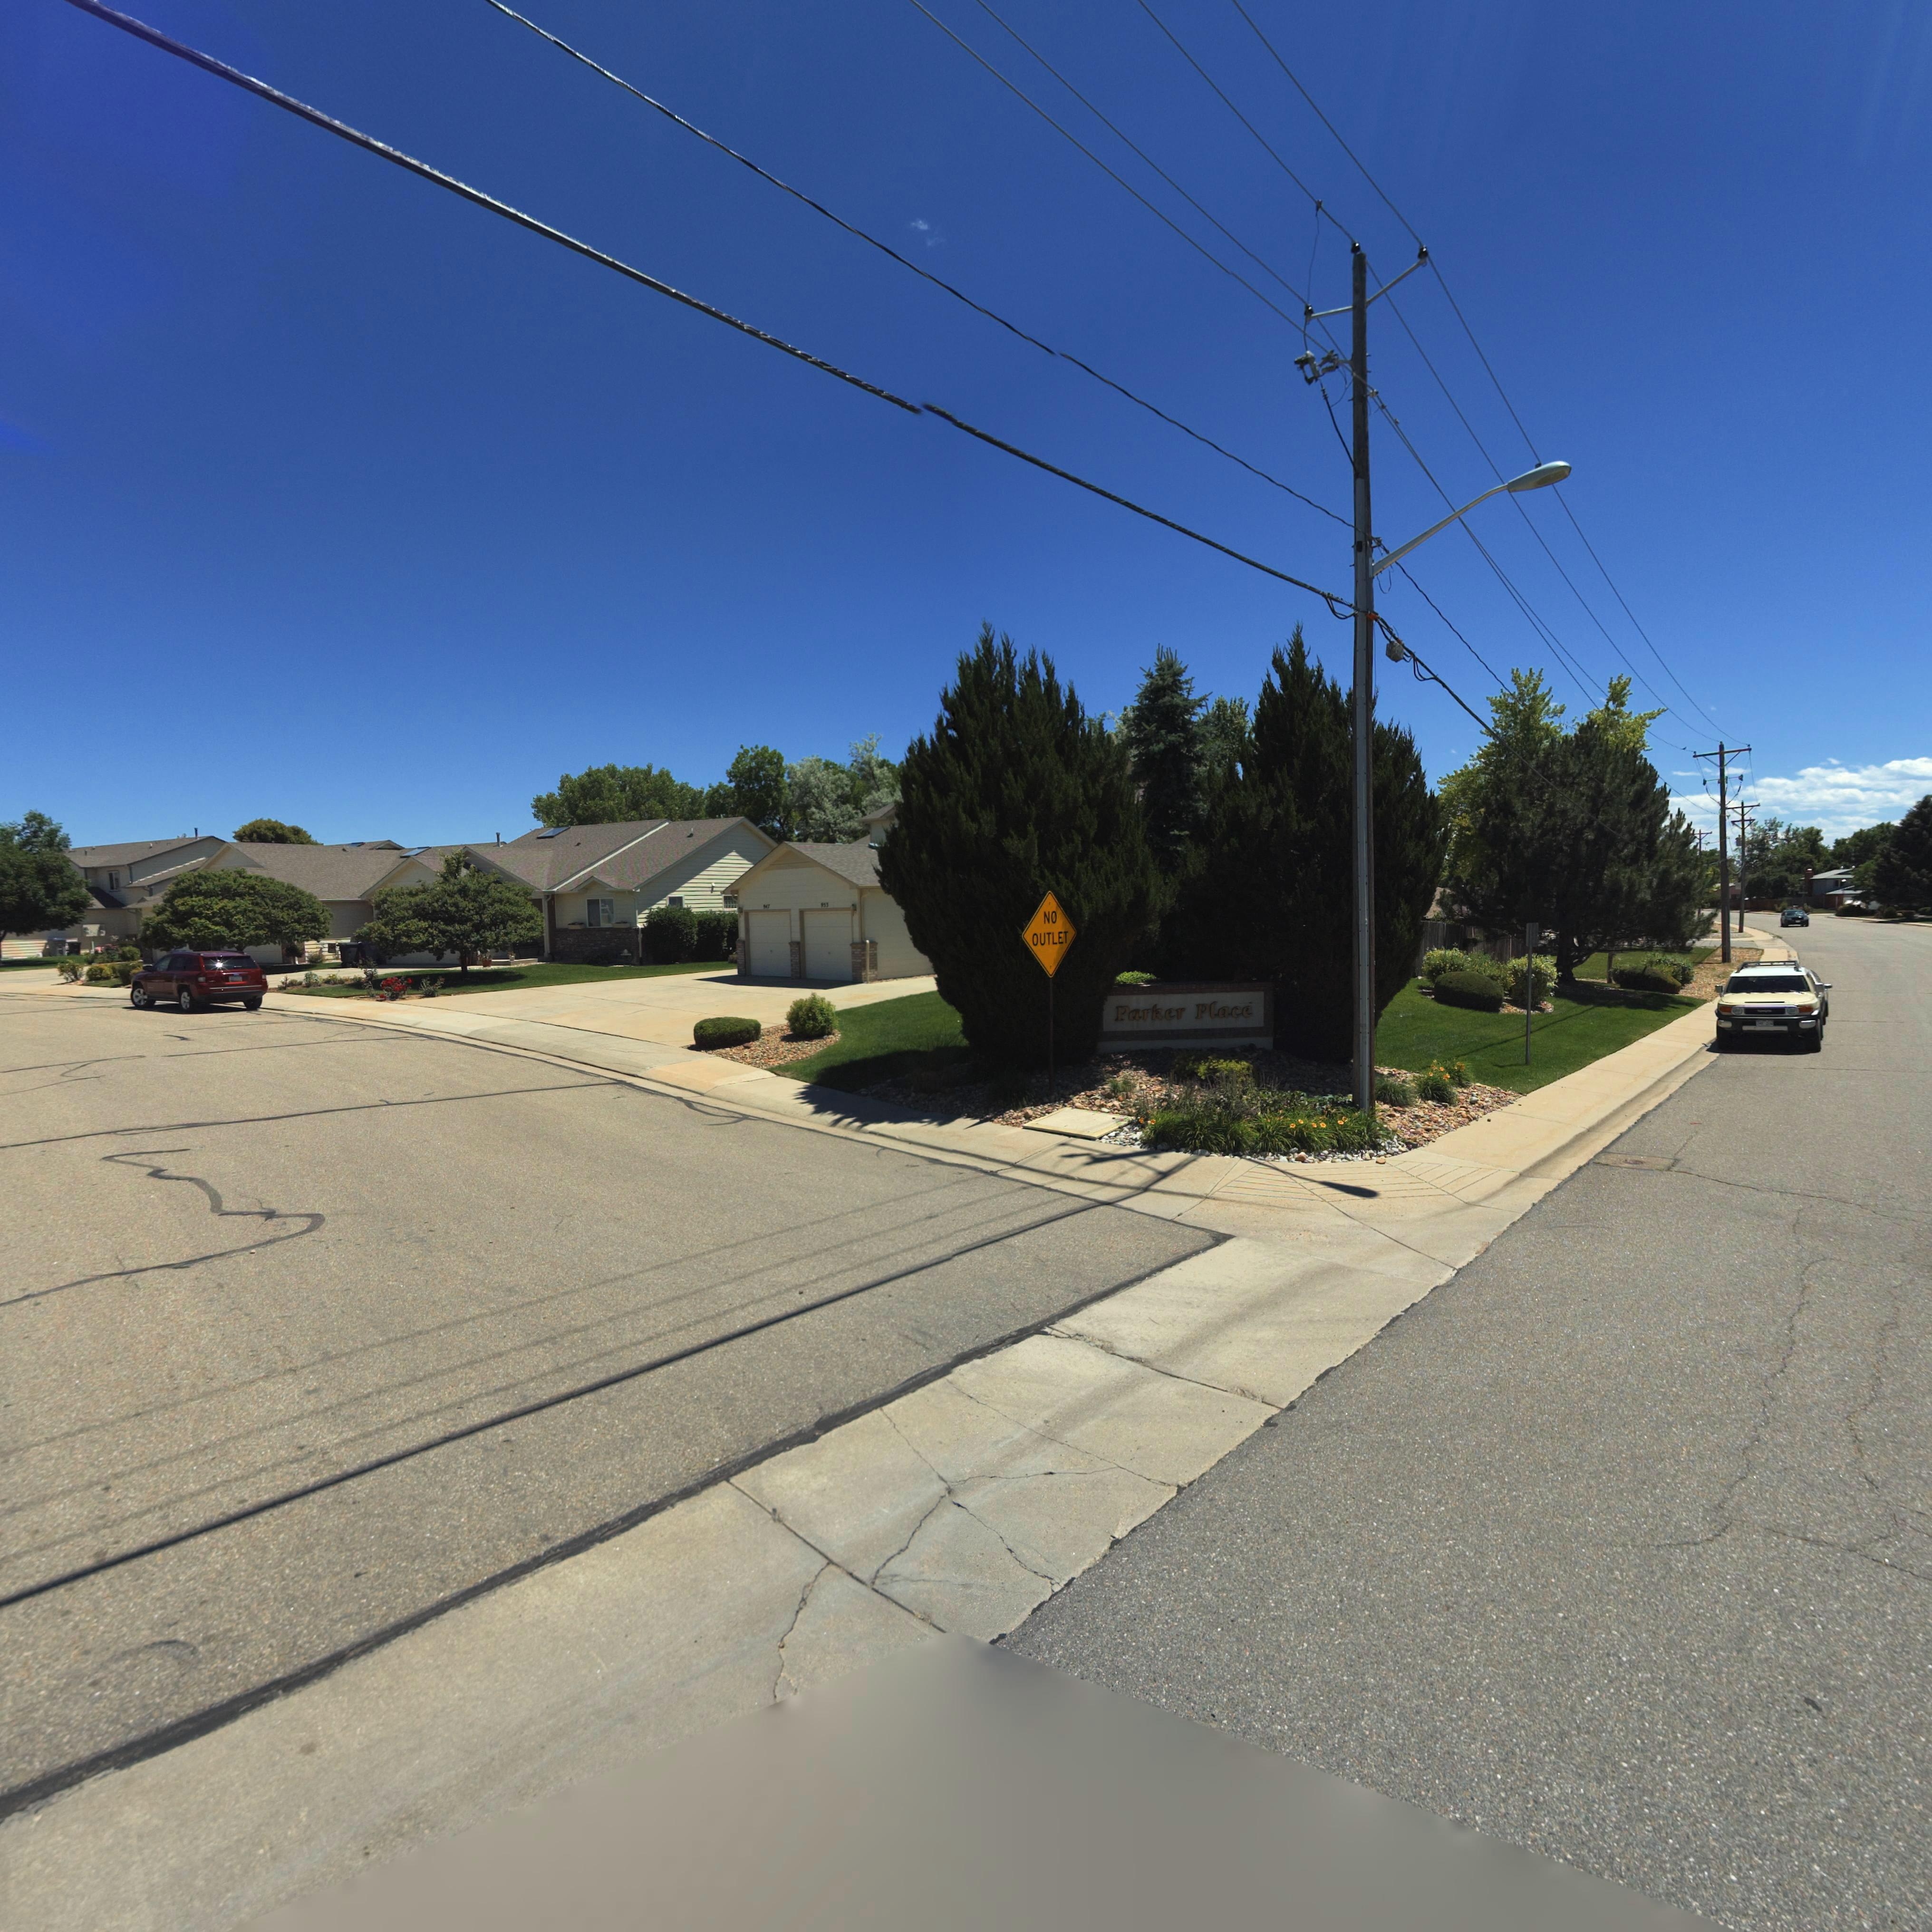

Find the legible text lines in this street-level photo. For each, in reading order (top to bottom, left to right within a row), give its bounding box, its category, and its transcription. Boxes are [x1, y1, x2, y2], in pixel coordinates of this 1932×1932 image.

[762, 903, 771, 909] StreetNumber: 947
[820, 901, 829, 908] StreetNumber: 953